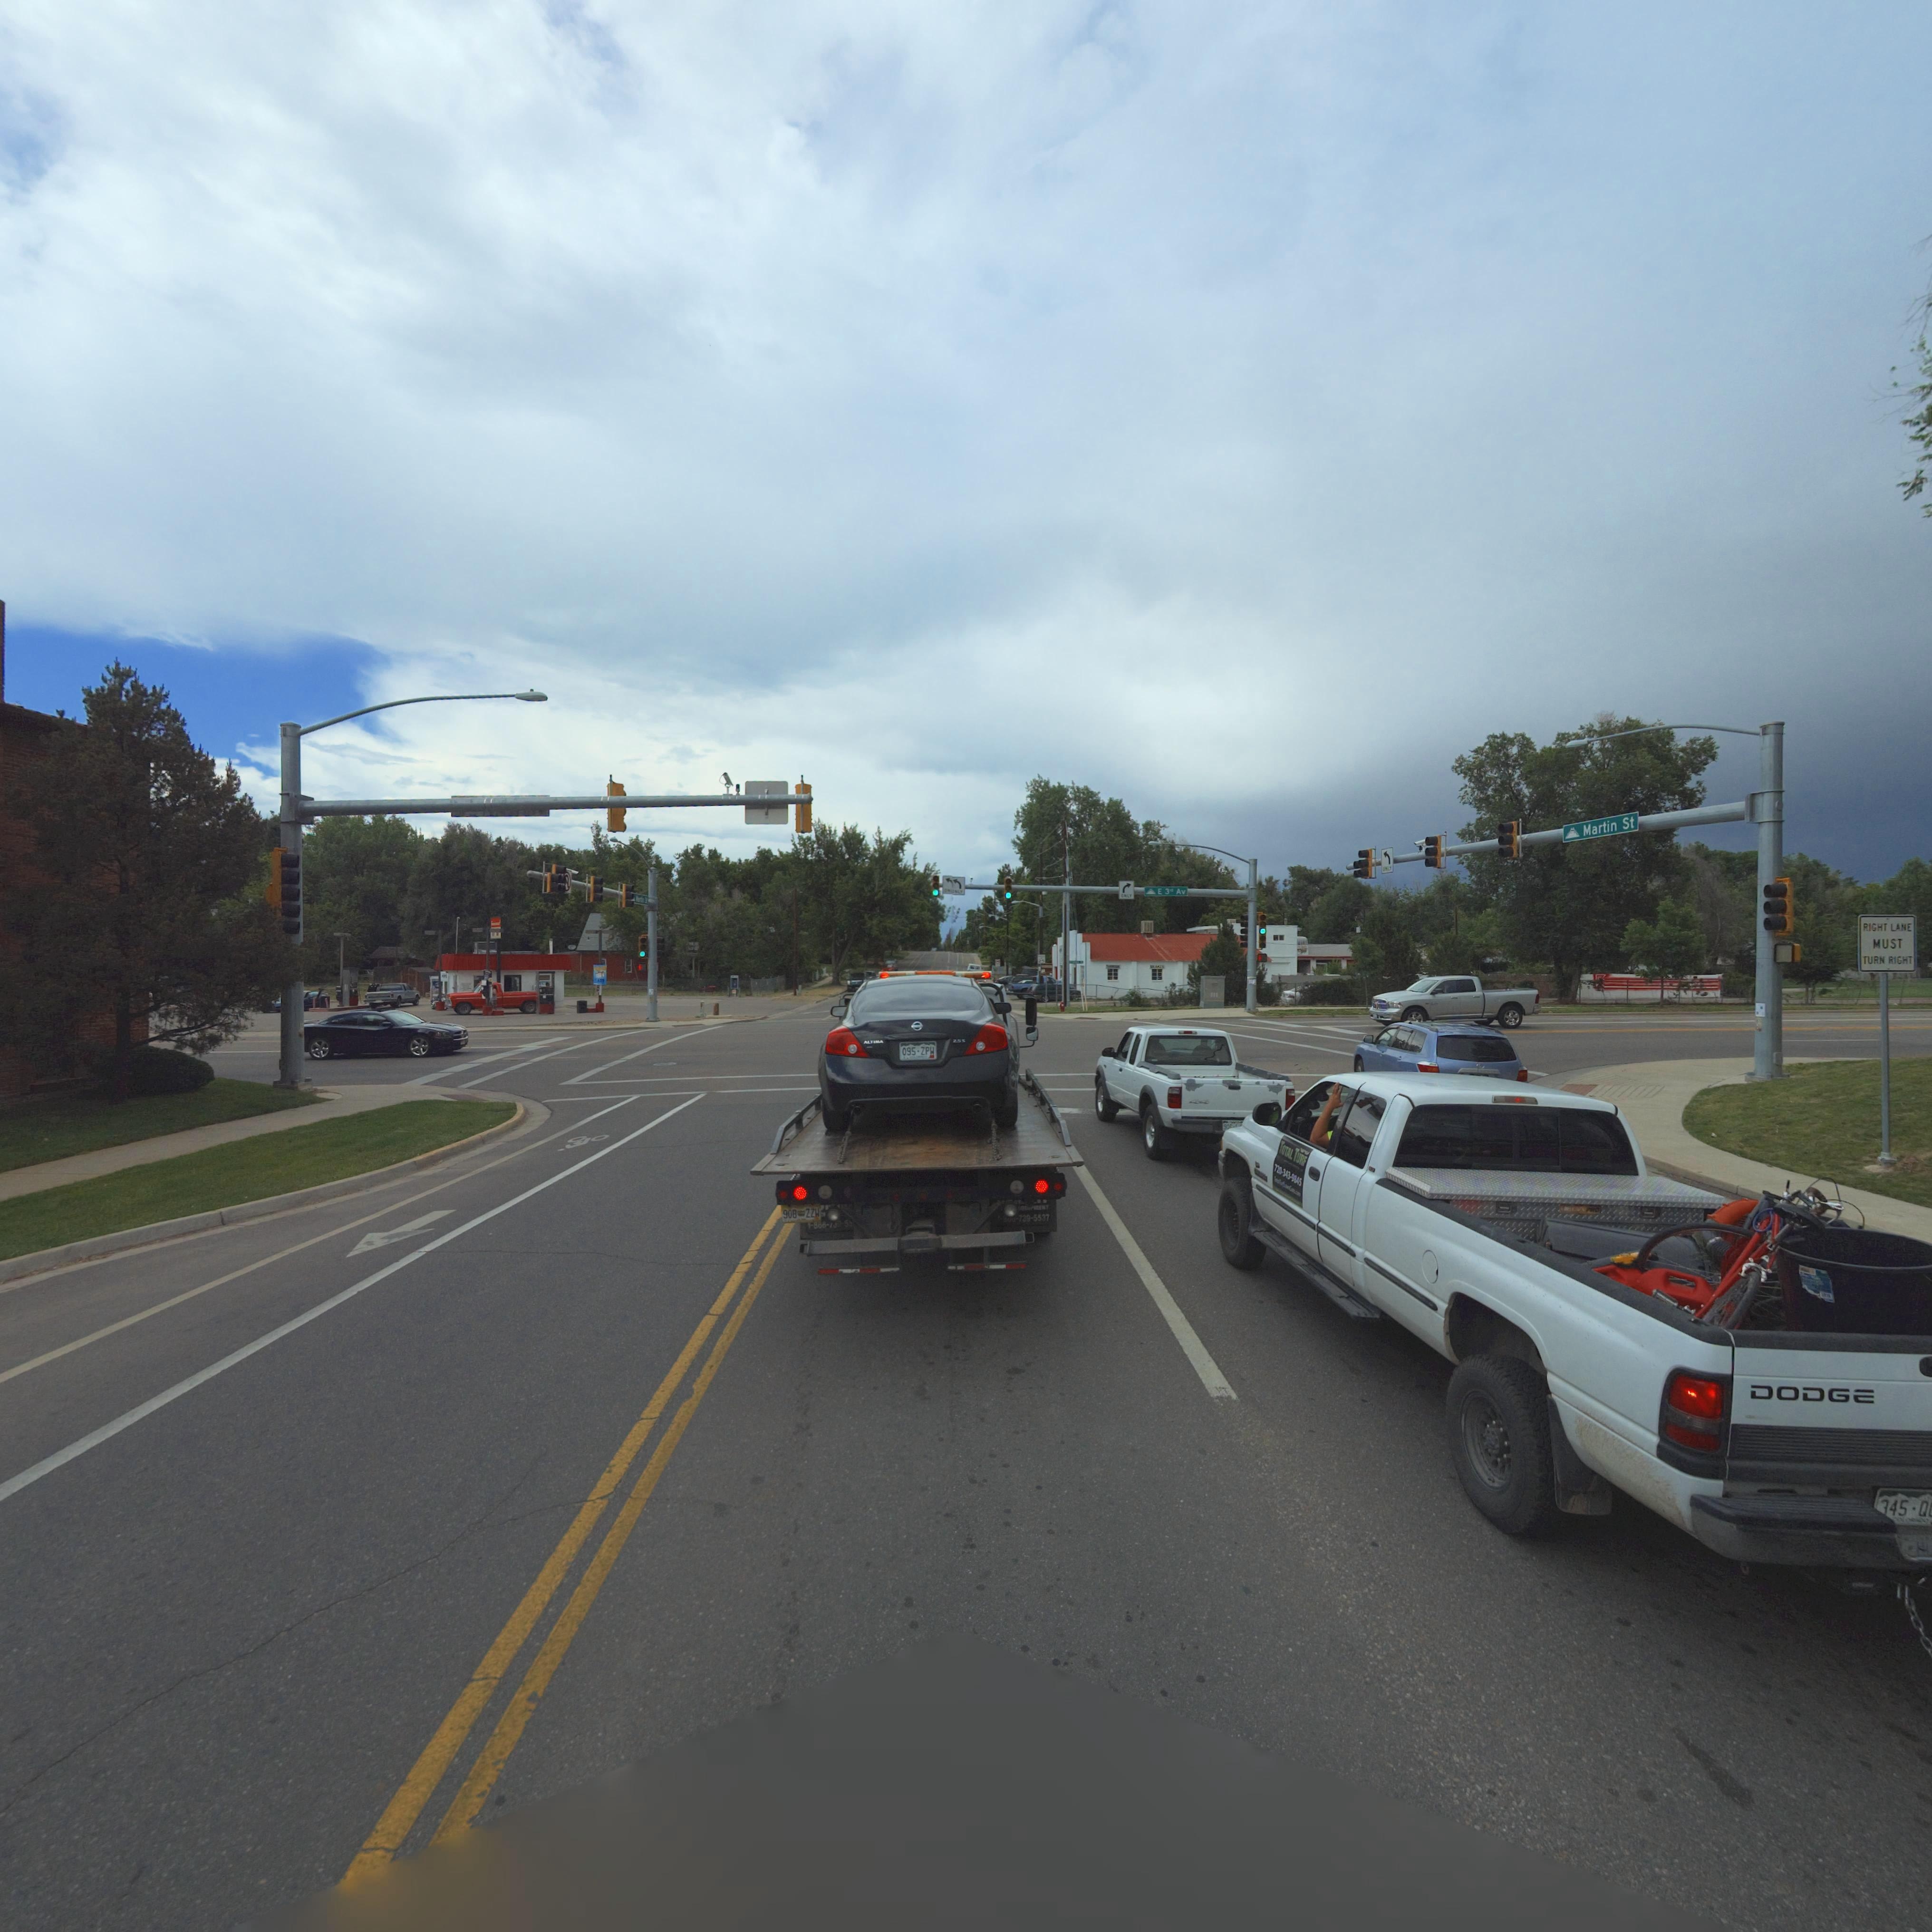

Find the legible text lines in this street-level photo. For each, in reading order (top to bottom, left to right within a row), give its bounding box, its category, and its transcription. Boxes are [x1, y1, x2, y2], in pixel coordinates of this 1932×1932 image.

[1583, 815, 1635, 837] StreetName: Martin St
[1157, 888, 1186, 895] StreetName: E 3** Av
[635, 895, 647, 904] StreetName: Ma**** **